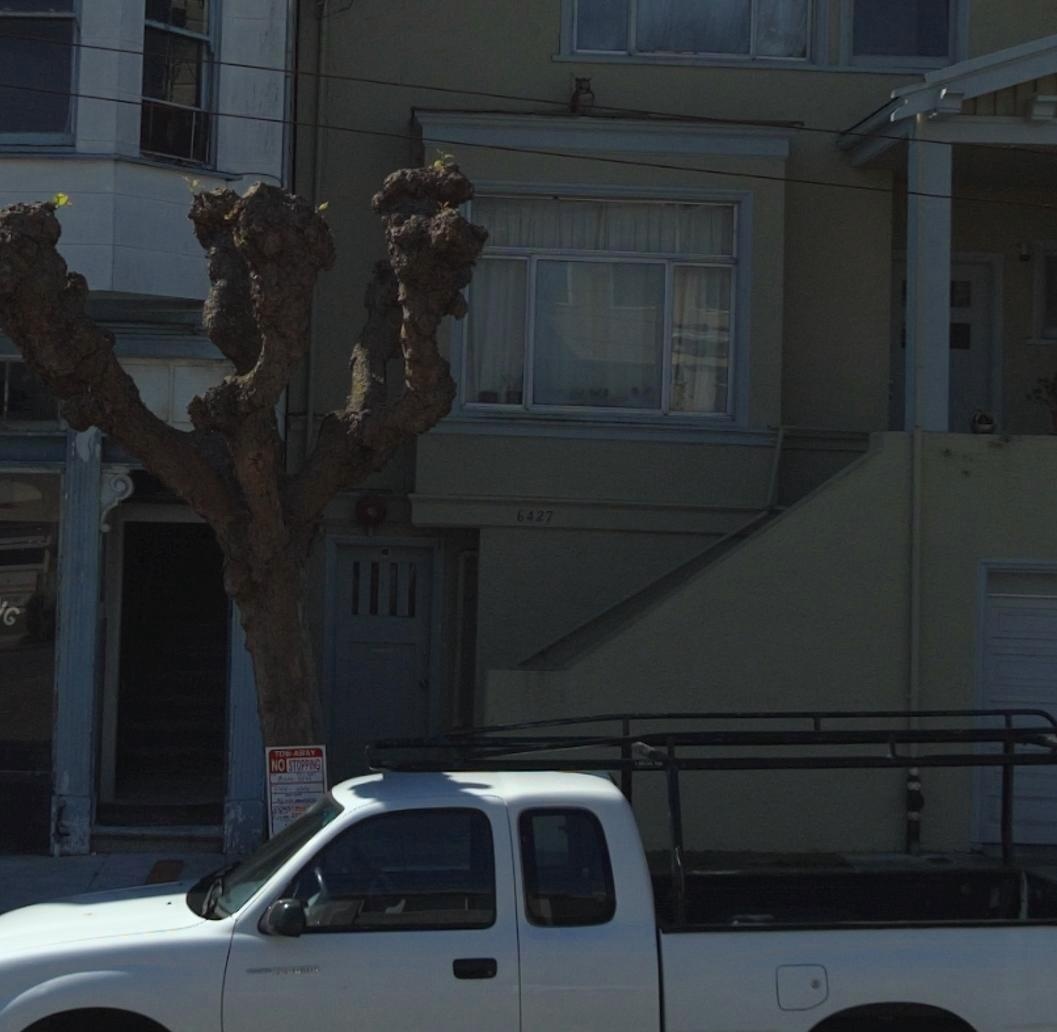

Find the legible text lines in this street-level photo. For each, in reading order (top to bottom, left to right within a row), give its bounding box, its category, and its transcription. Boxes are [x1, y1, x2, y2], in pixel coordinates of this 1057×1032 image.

[514, 507, 554, 526] StreetNumber: 6427
[271, 758, 321, 773] None: NO STOPPING